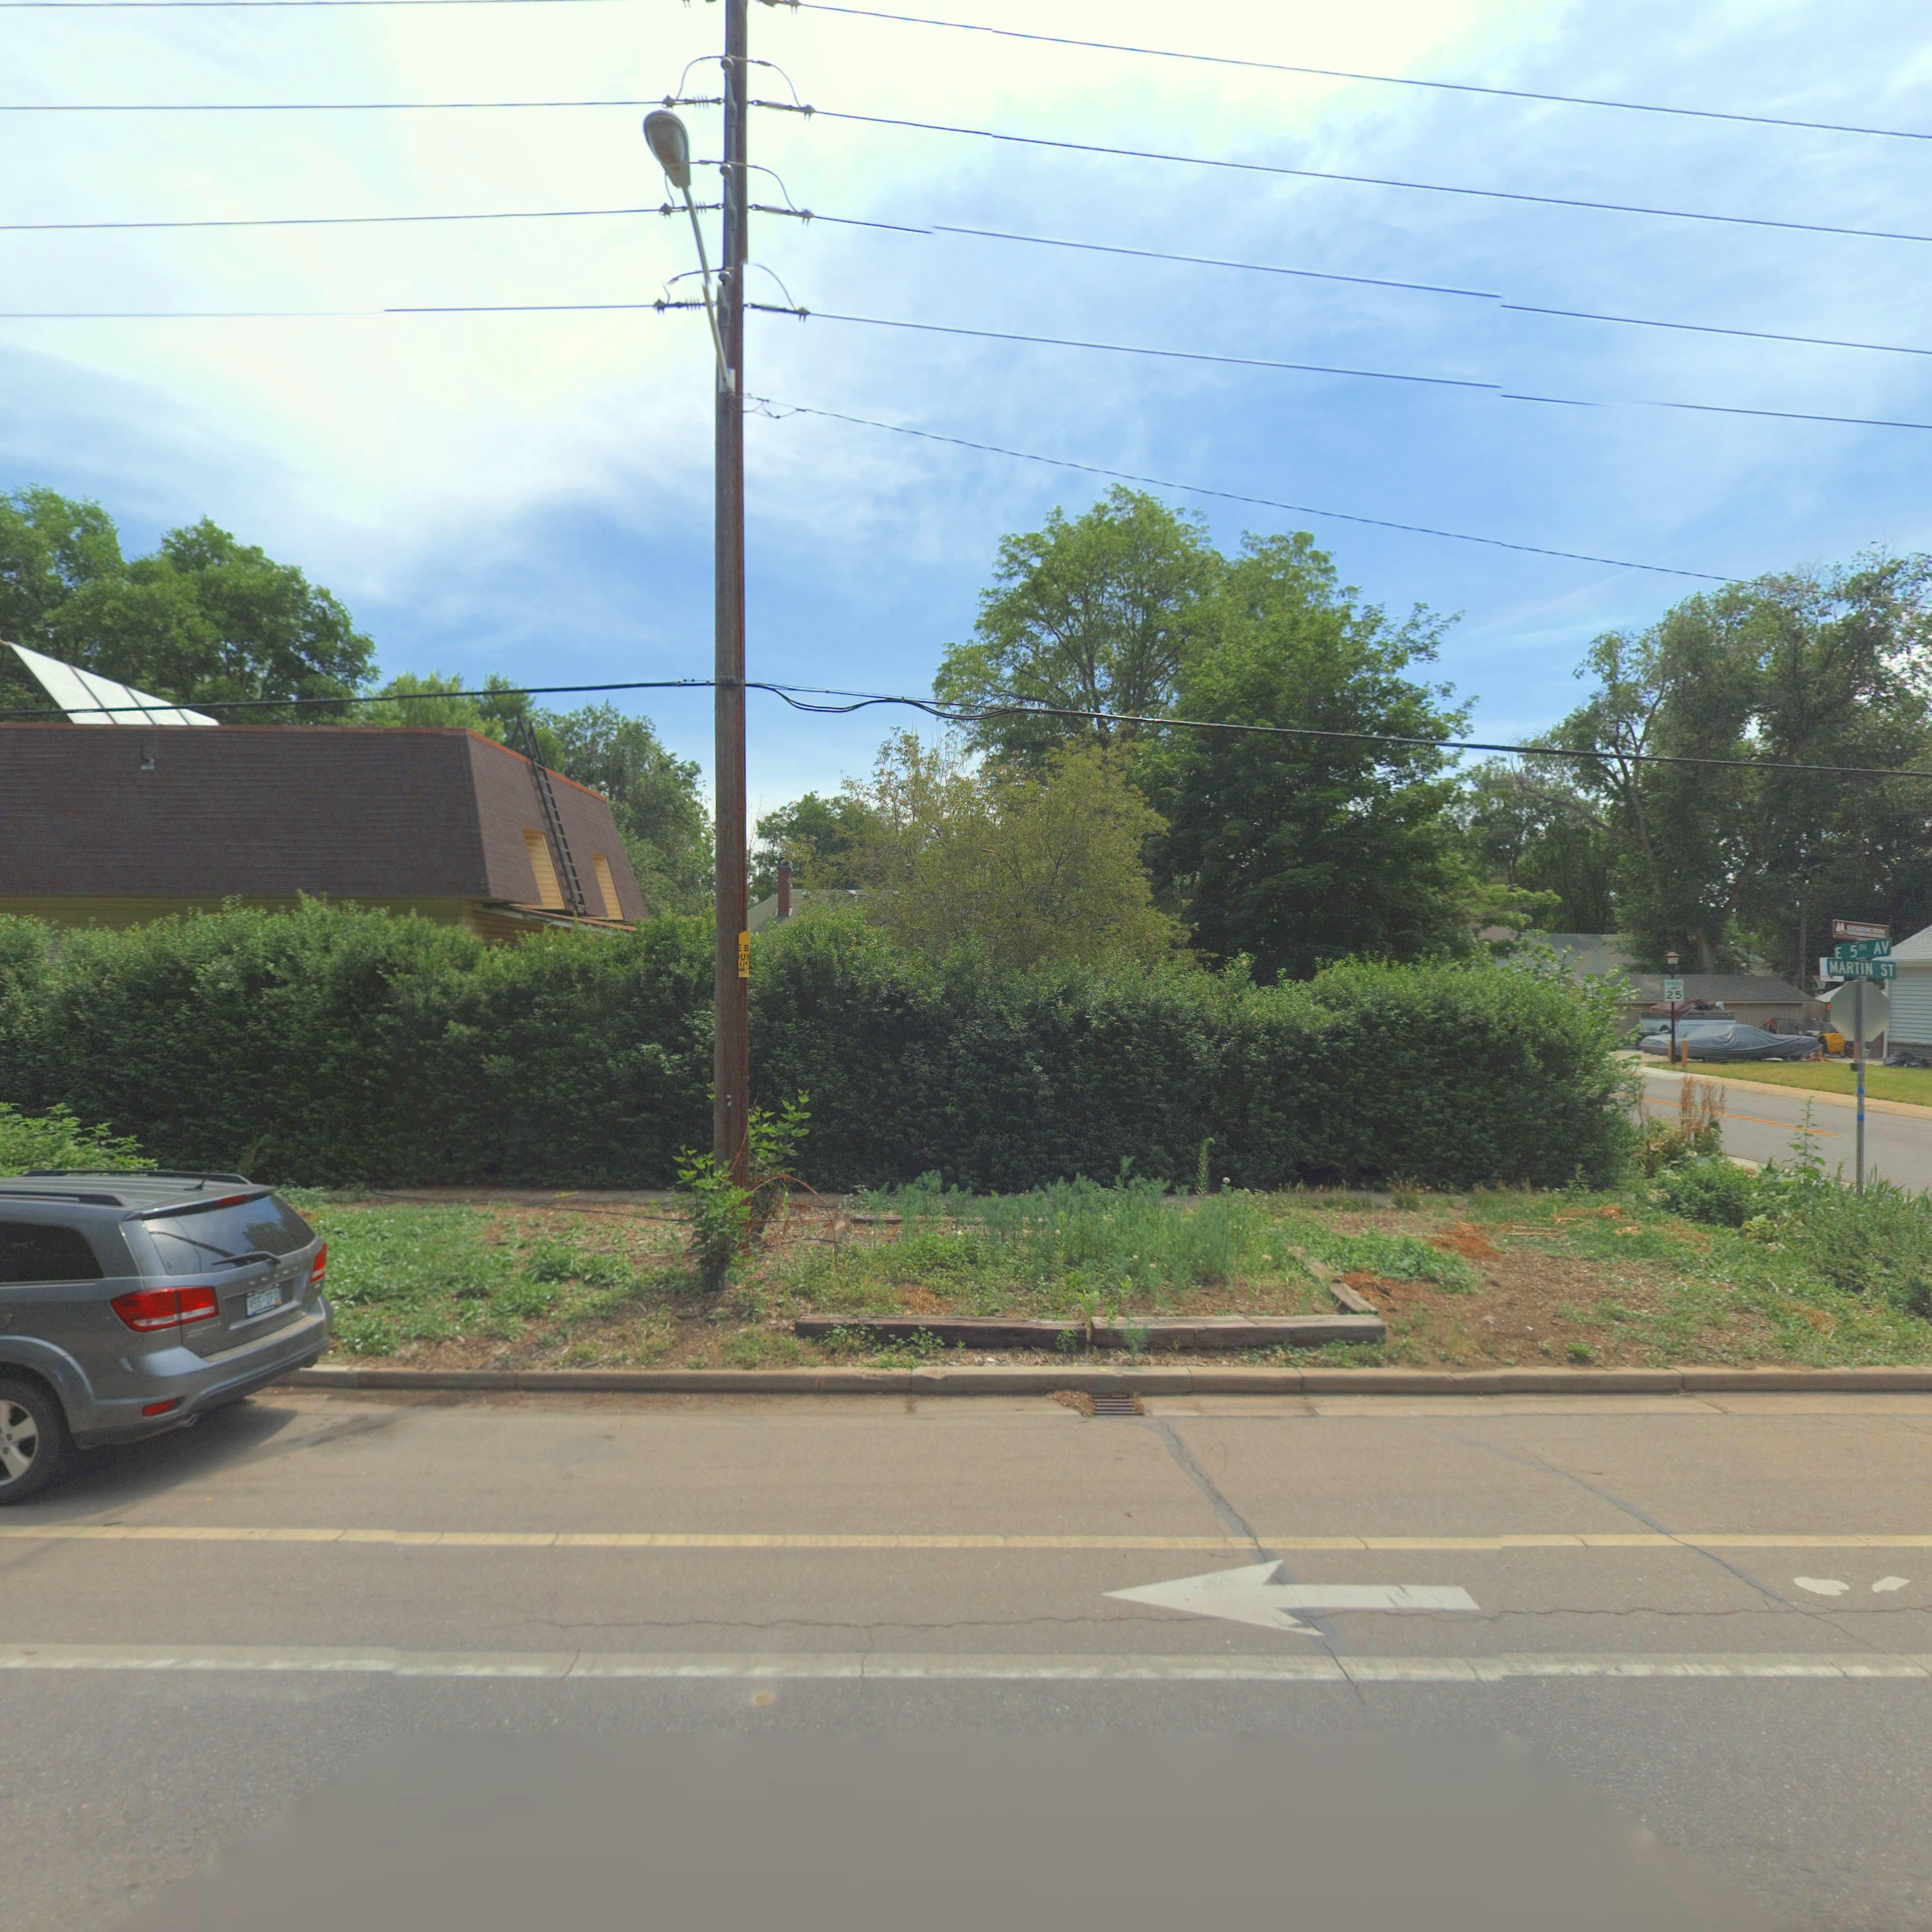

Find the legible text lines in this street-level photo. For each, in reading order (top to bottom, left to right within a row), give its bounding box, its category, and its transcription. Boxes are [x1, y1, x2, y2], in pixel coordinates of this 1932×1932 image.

[1835, 940, 1890, 959] StreetName: E 5** AV
[1829, 960, 1894, 977] StreetName: MARTIN ST